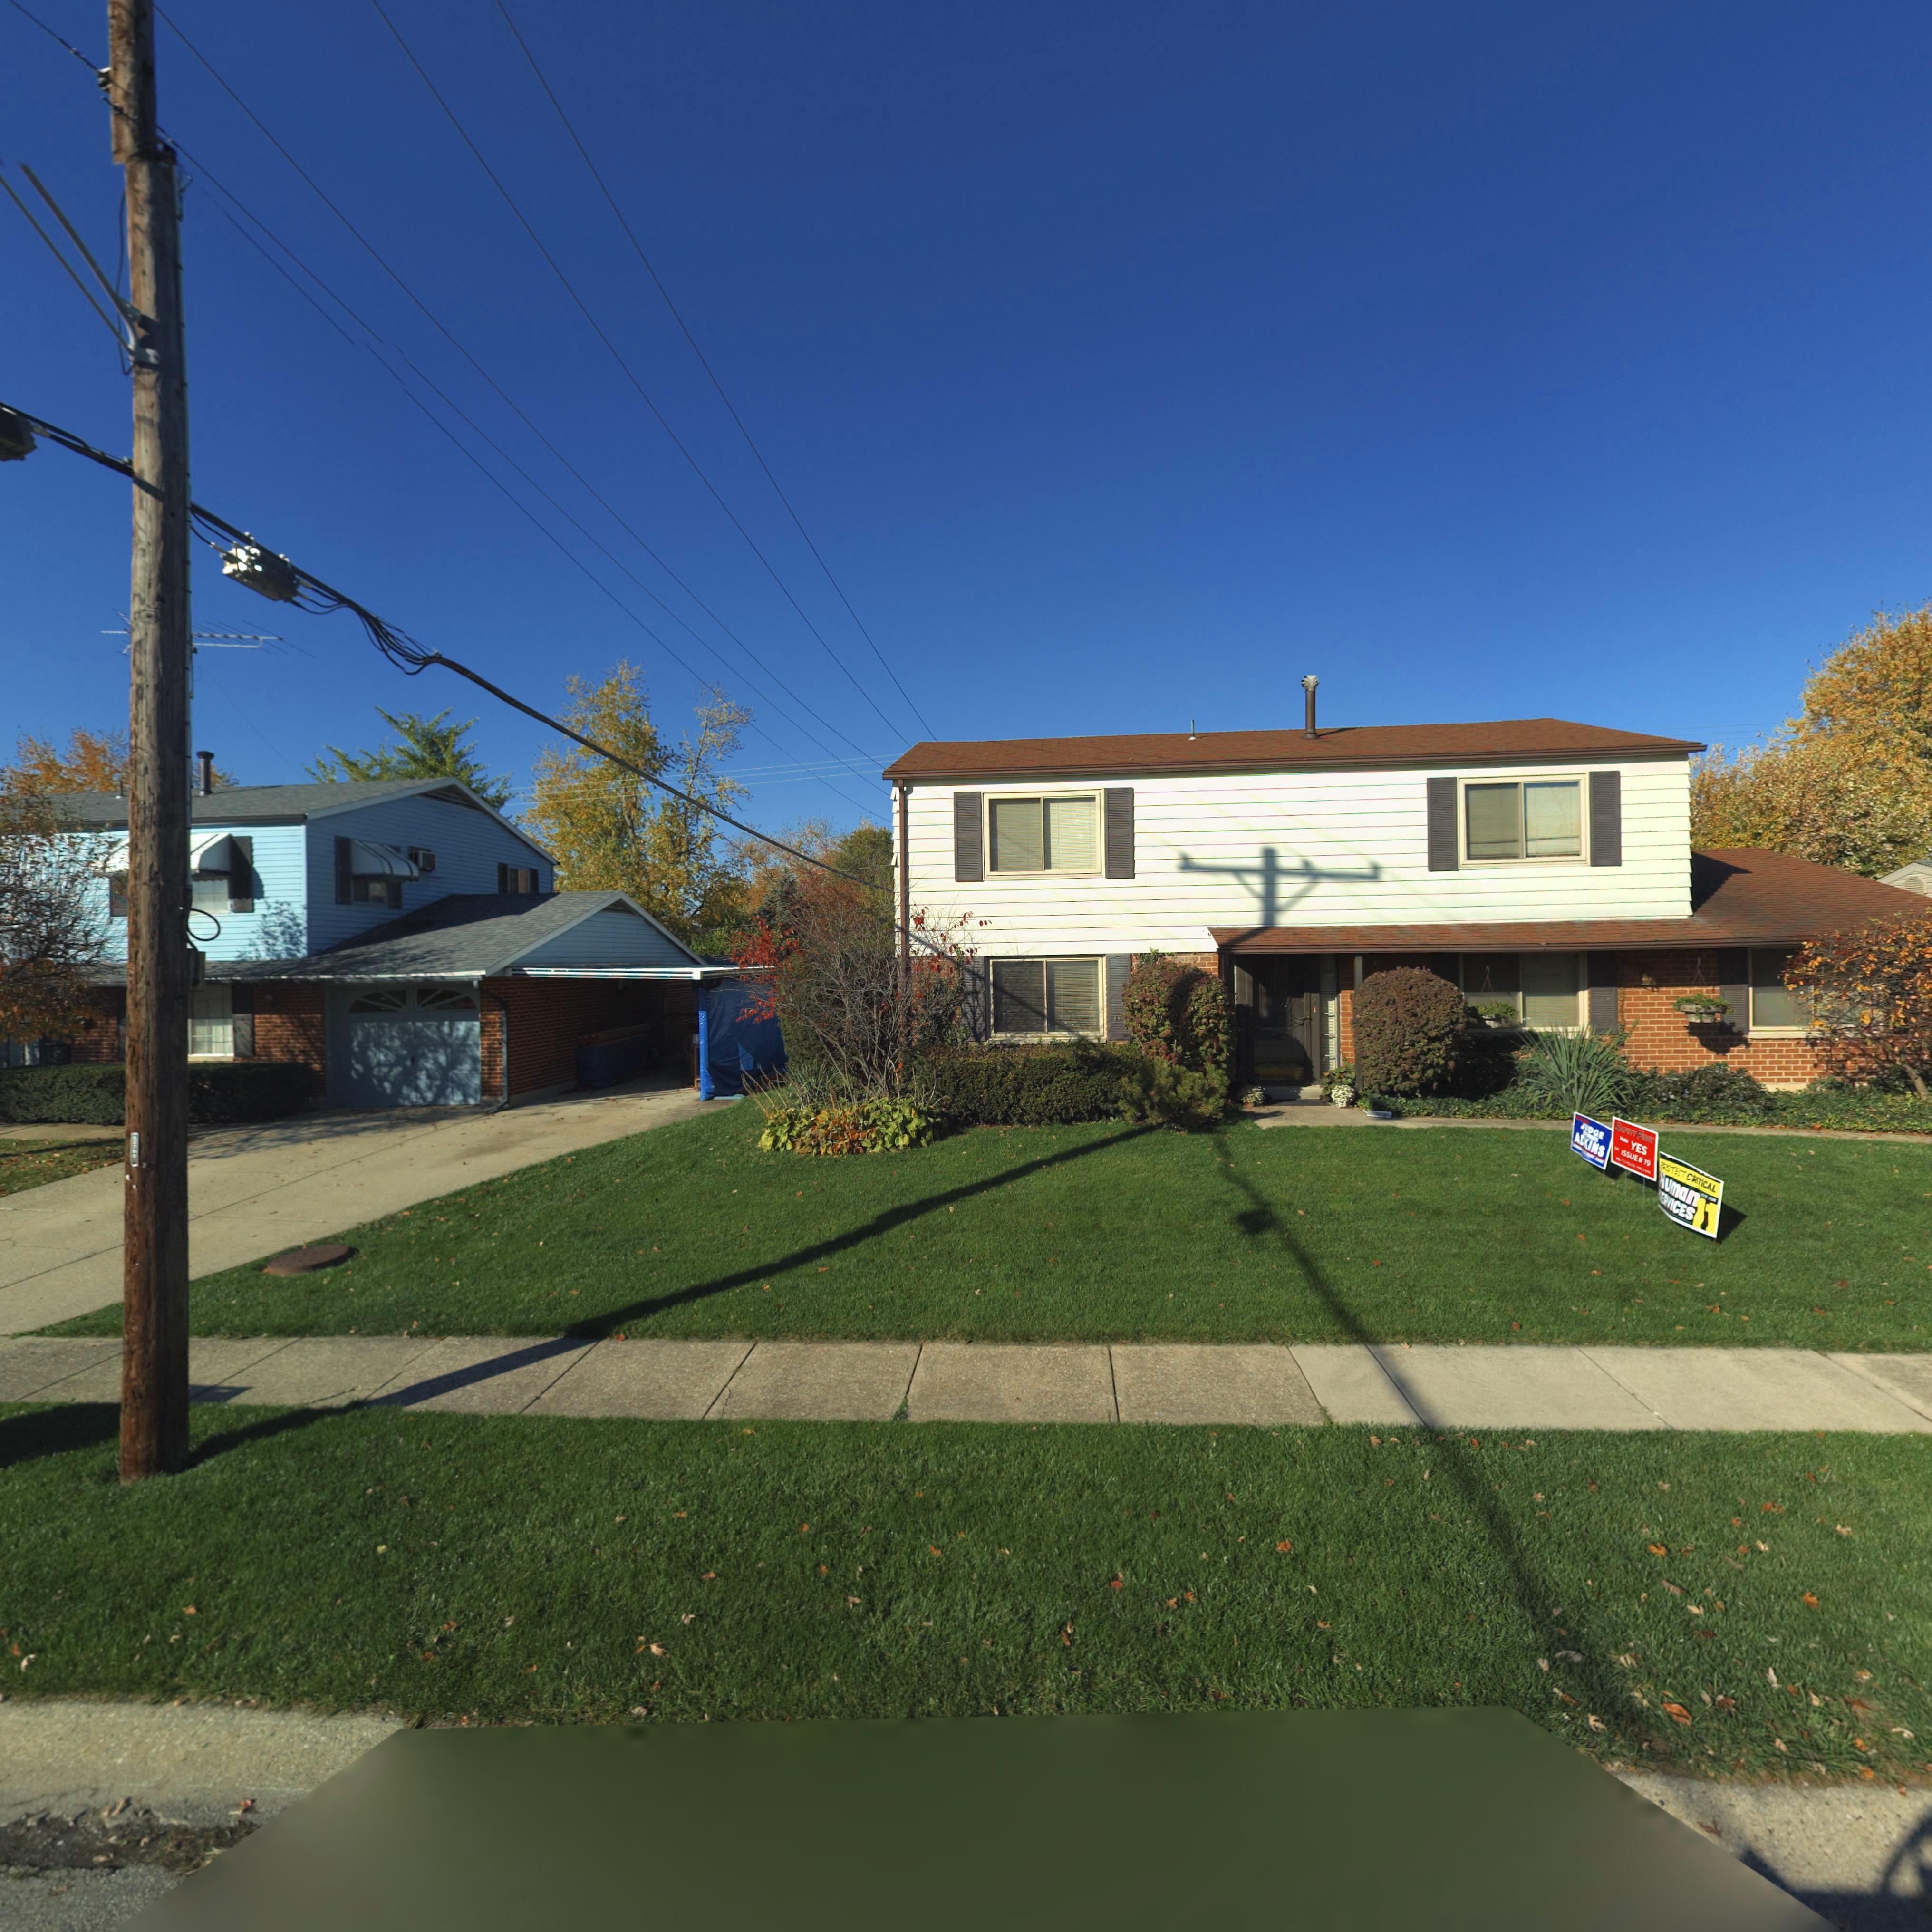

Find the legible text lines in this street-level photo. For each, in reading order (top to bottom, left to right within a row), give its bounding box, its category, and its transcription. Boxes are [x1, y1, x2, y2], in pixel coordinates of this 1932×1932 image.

[1312, 994, 1319, 1005] StreetNumber: 7